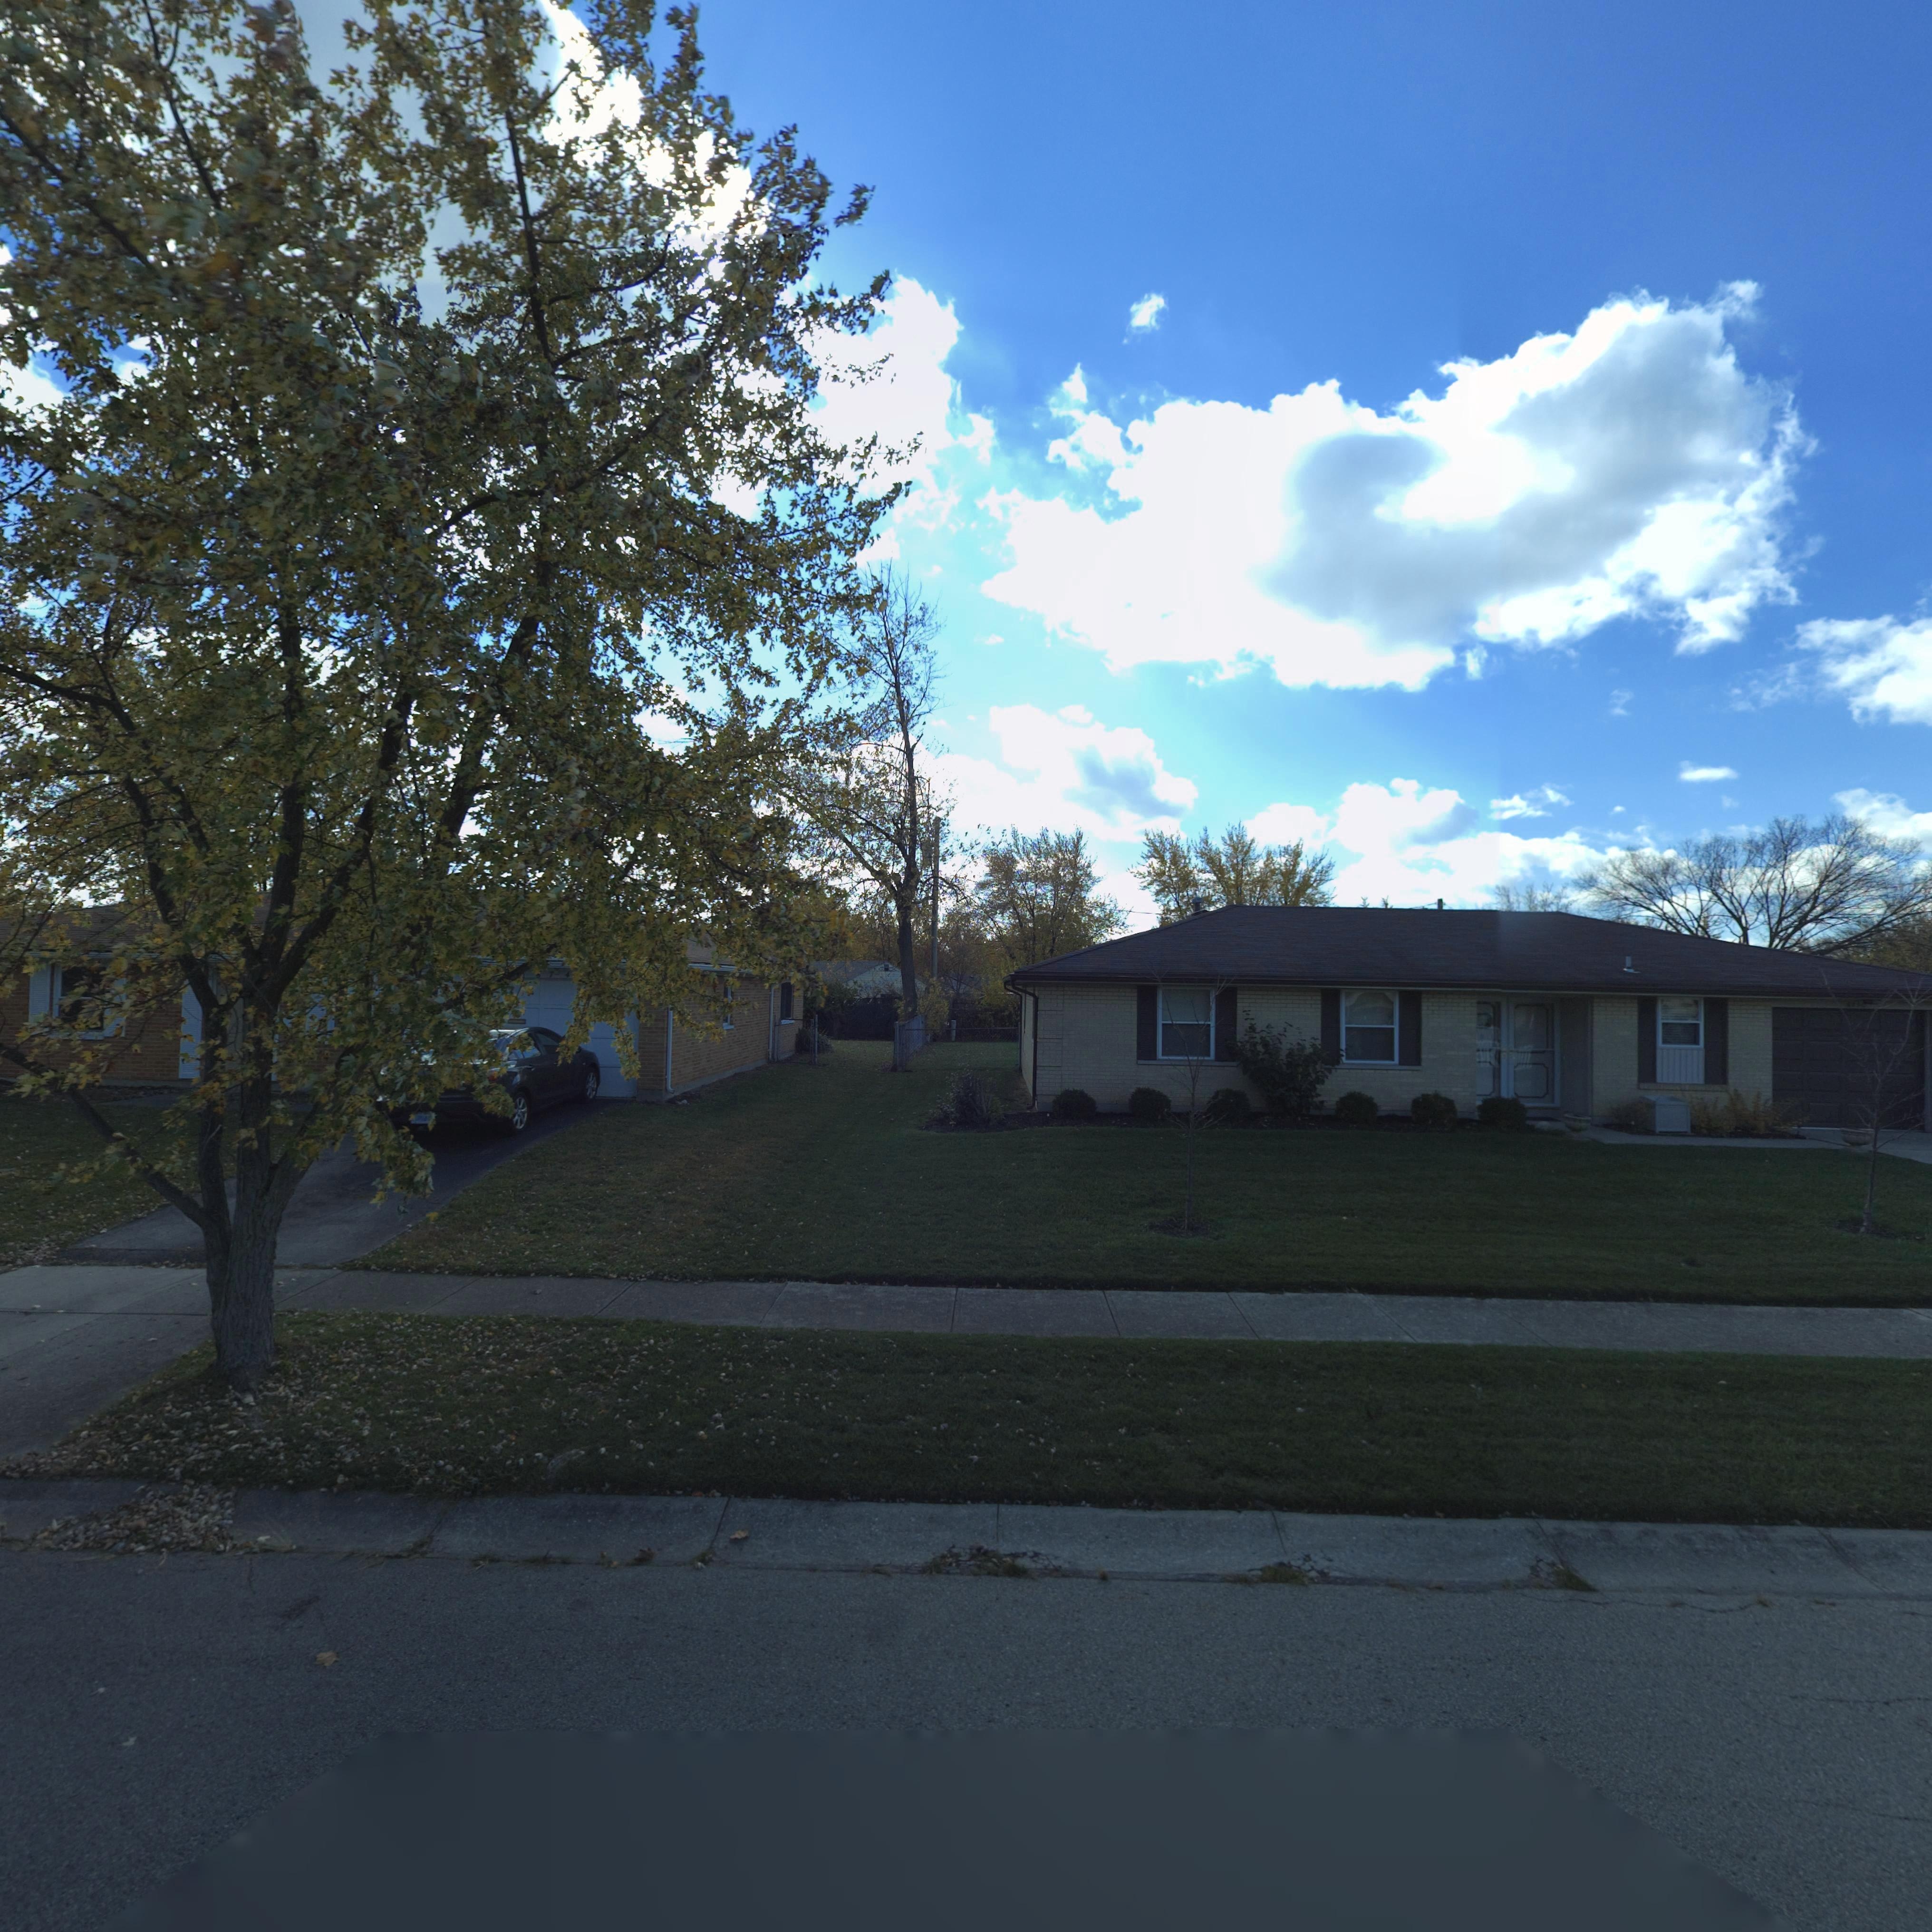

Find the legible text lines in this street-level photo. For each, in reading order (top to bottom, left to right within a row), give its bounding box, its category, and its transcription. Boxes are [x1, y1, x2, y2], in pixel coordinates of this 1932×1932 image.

[548, 970, 570, 978] StreetNumber: 74
[1846, 999, 1867, 1008] StreetNumber: ***0